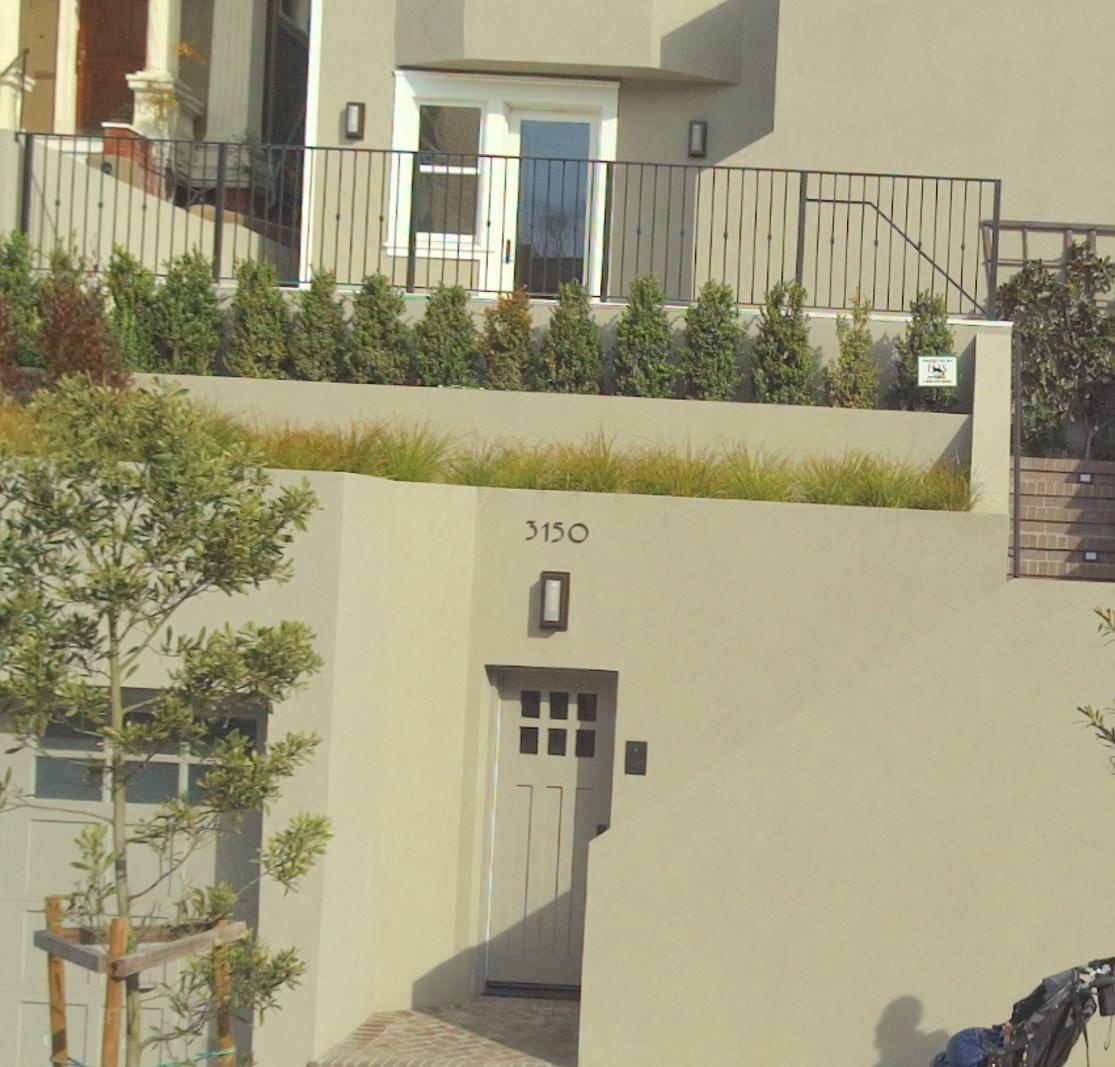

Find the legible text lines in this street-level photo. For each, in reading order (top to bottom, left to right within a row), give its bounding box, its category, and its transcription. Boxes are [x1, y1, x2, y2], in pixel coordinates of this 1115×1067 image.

[522, 517, 593, 547] StreetNumber: 3150